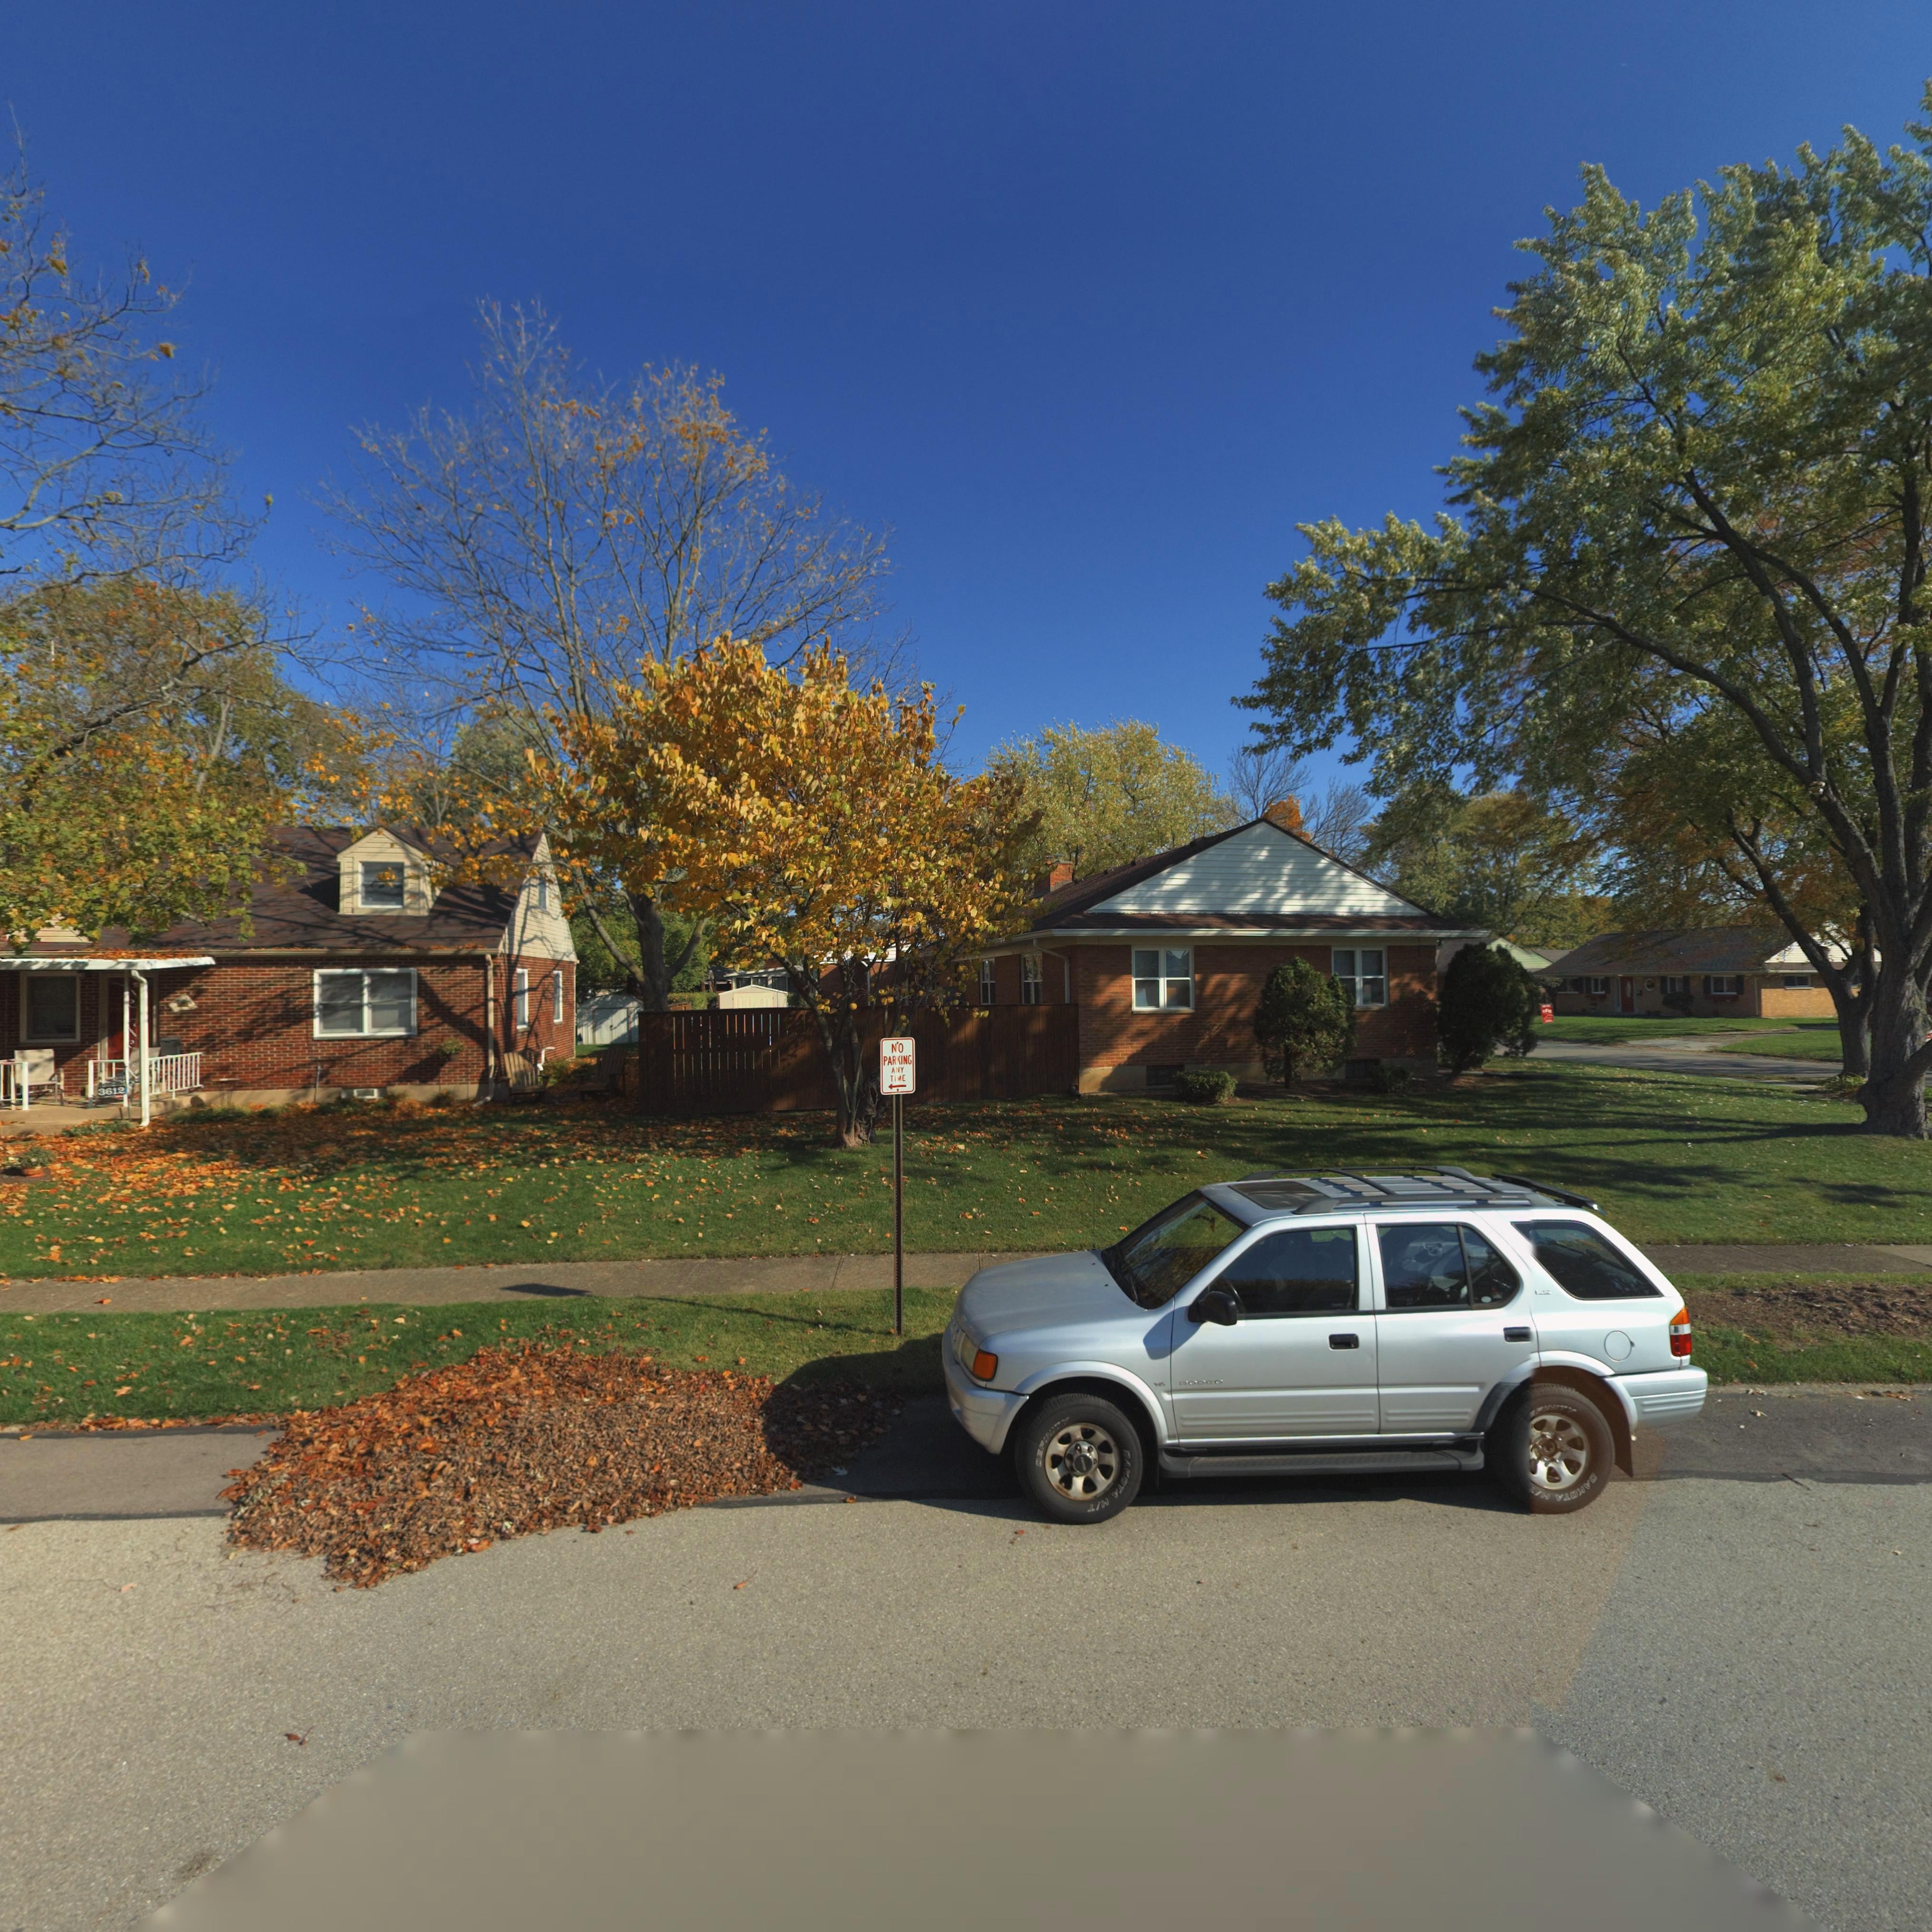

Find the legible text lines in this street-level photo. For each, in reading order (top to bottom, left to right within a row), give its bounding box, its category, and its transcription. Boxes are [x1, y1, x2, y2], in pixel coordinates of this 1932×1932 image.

[891, 1043, 904, 1053] None: NO
[883, 1054, 912, 1066] None: PARKING
[890, 1066, 905, 1074] None: ANY
[889, 1074, 906, 1082] None: TIME
[97, 1086, 126, 1096] StreetNumber: 3612
[1534, 1289, 1552, 1295] None: LS
[1153, 1381, 1167, 1388] None: V6
[1178, 1379, 1225, 1387] None: RODEO
[1535, 1404, 1579, 1416] None: FINITY
[1035, 1415, 1071, 1468] None: DEFINITY
[1110, 1449, 1131, 1500] None: DAKOTA
[1569, 1489, 1579, 1500] None: O